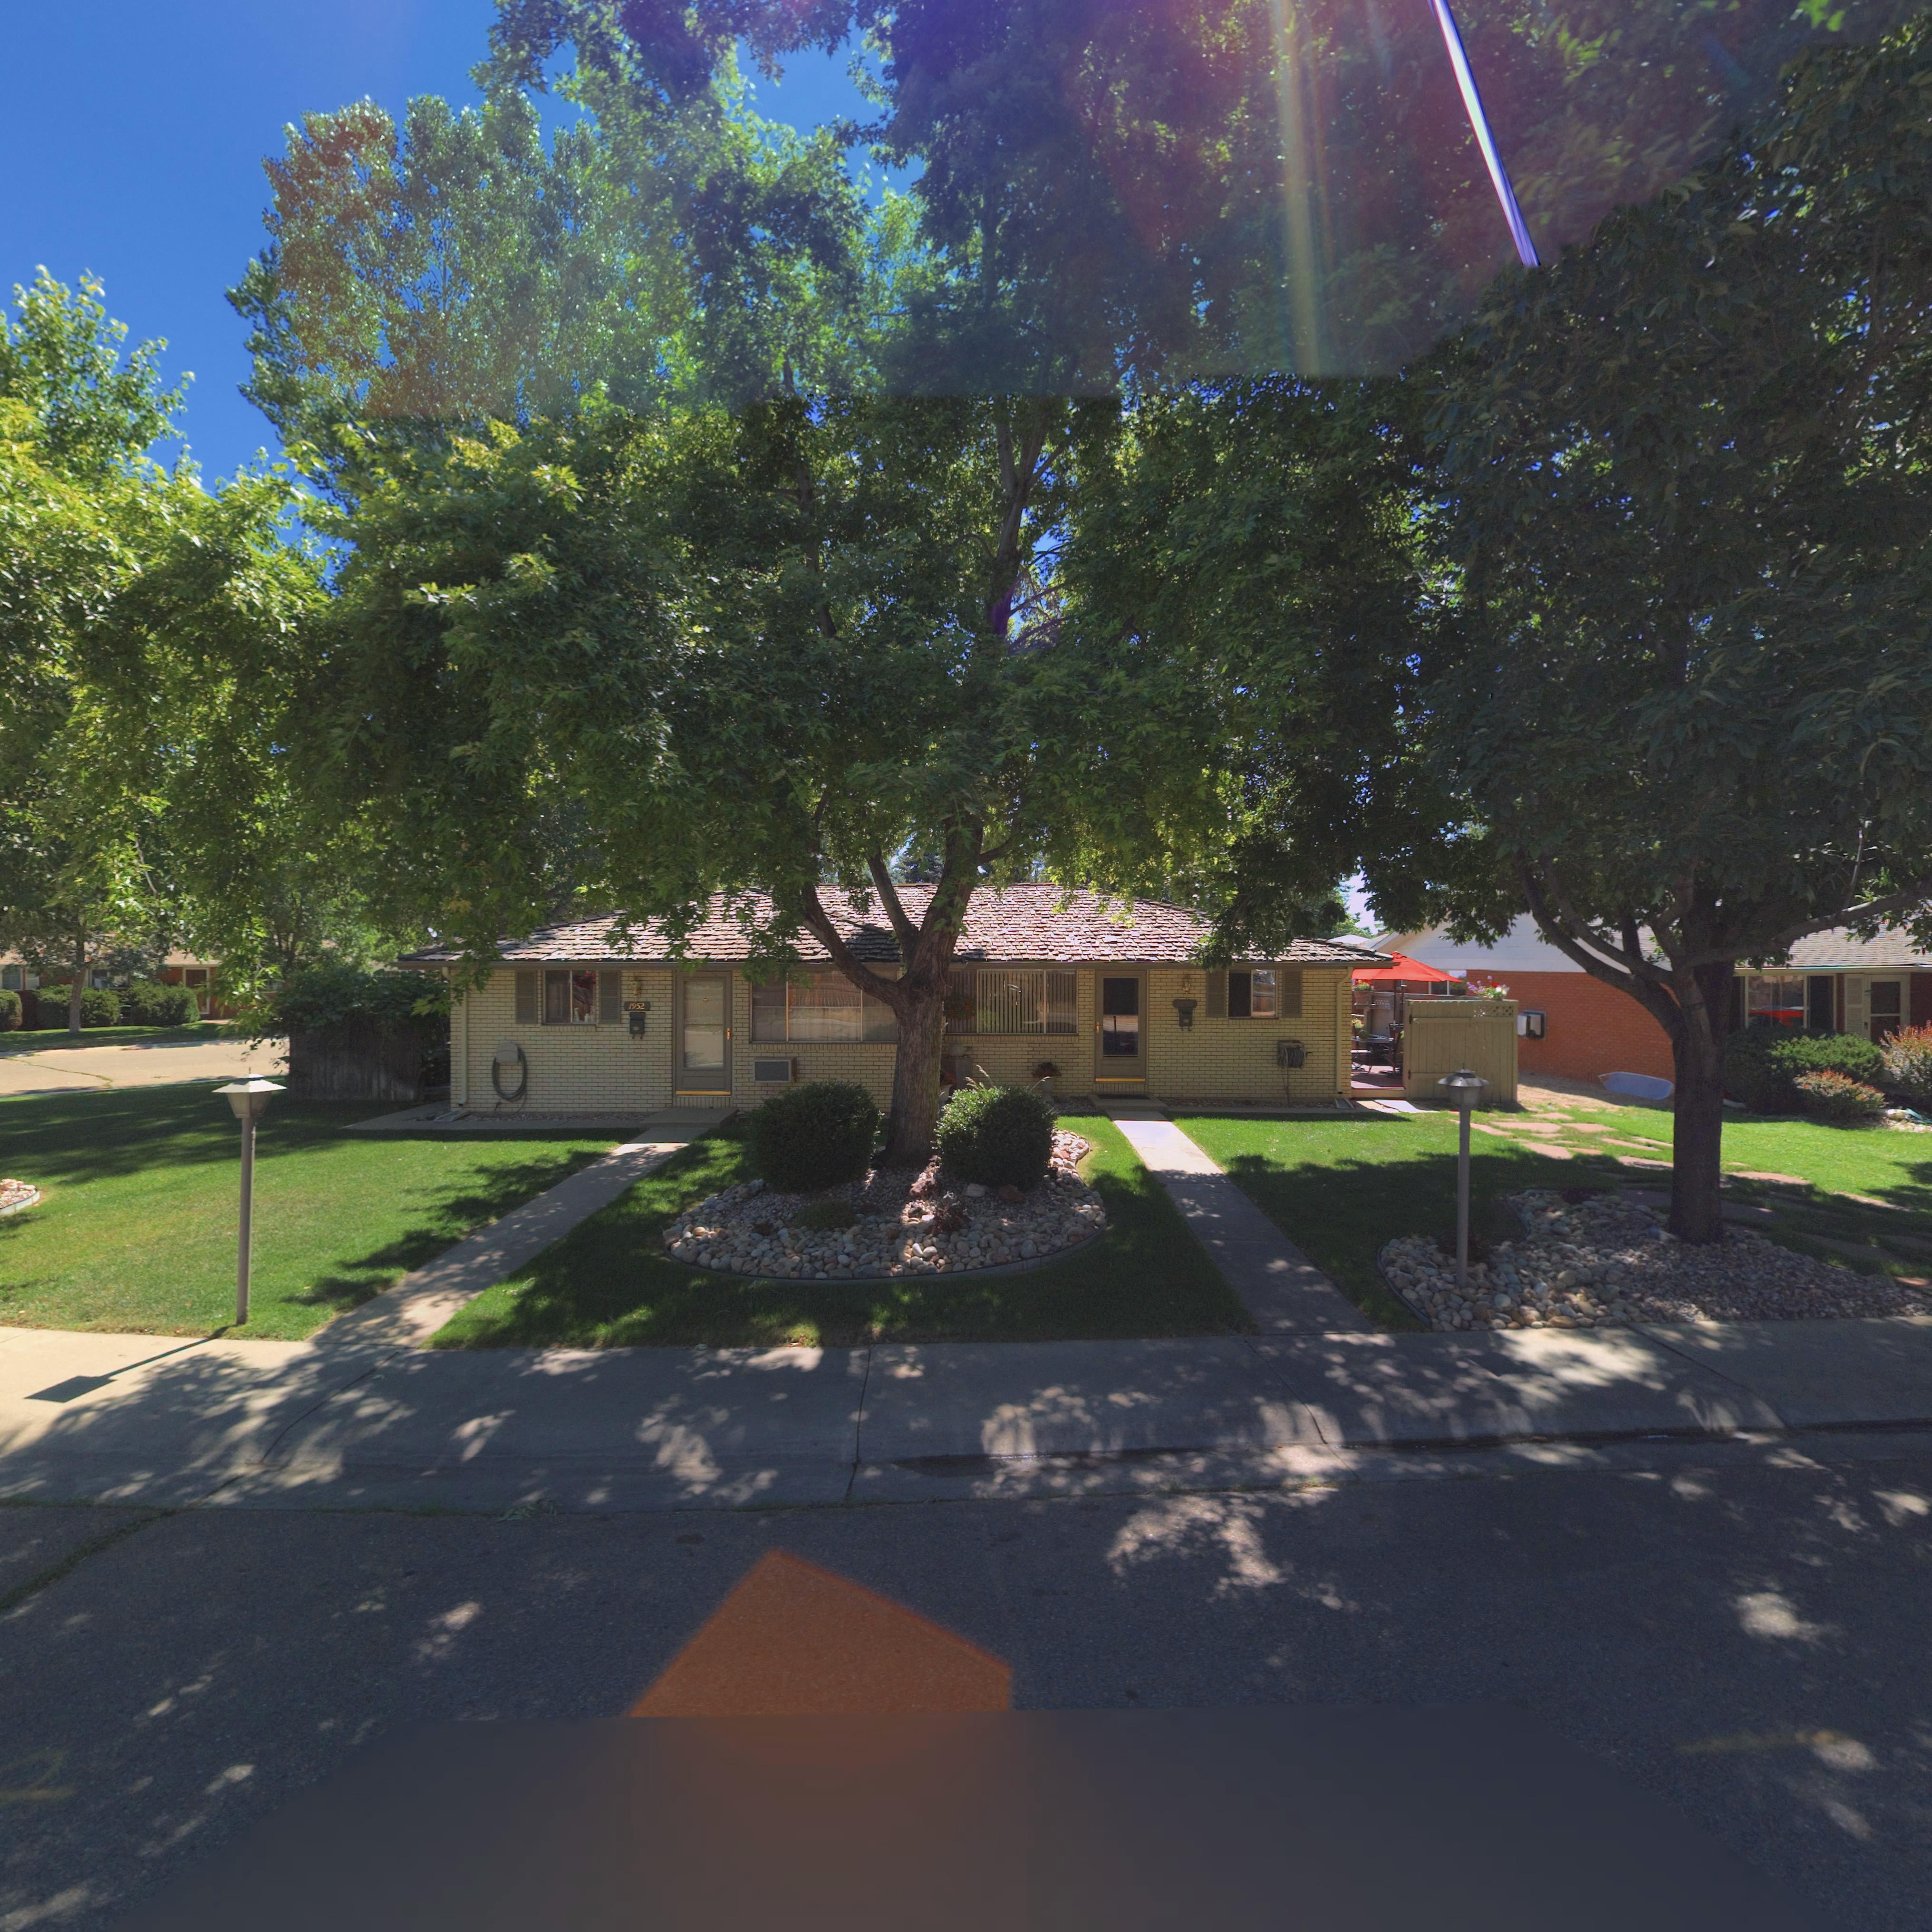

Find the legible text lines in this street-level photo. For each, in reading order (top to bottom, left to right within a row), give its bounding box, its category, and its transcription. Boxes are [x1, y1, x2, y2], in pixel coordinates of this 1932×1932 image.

[628, 1002, 645, 1010] StreetNumber: 1952
[1175, 999, 1194, 1007] StreetNumber: 1956